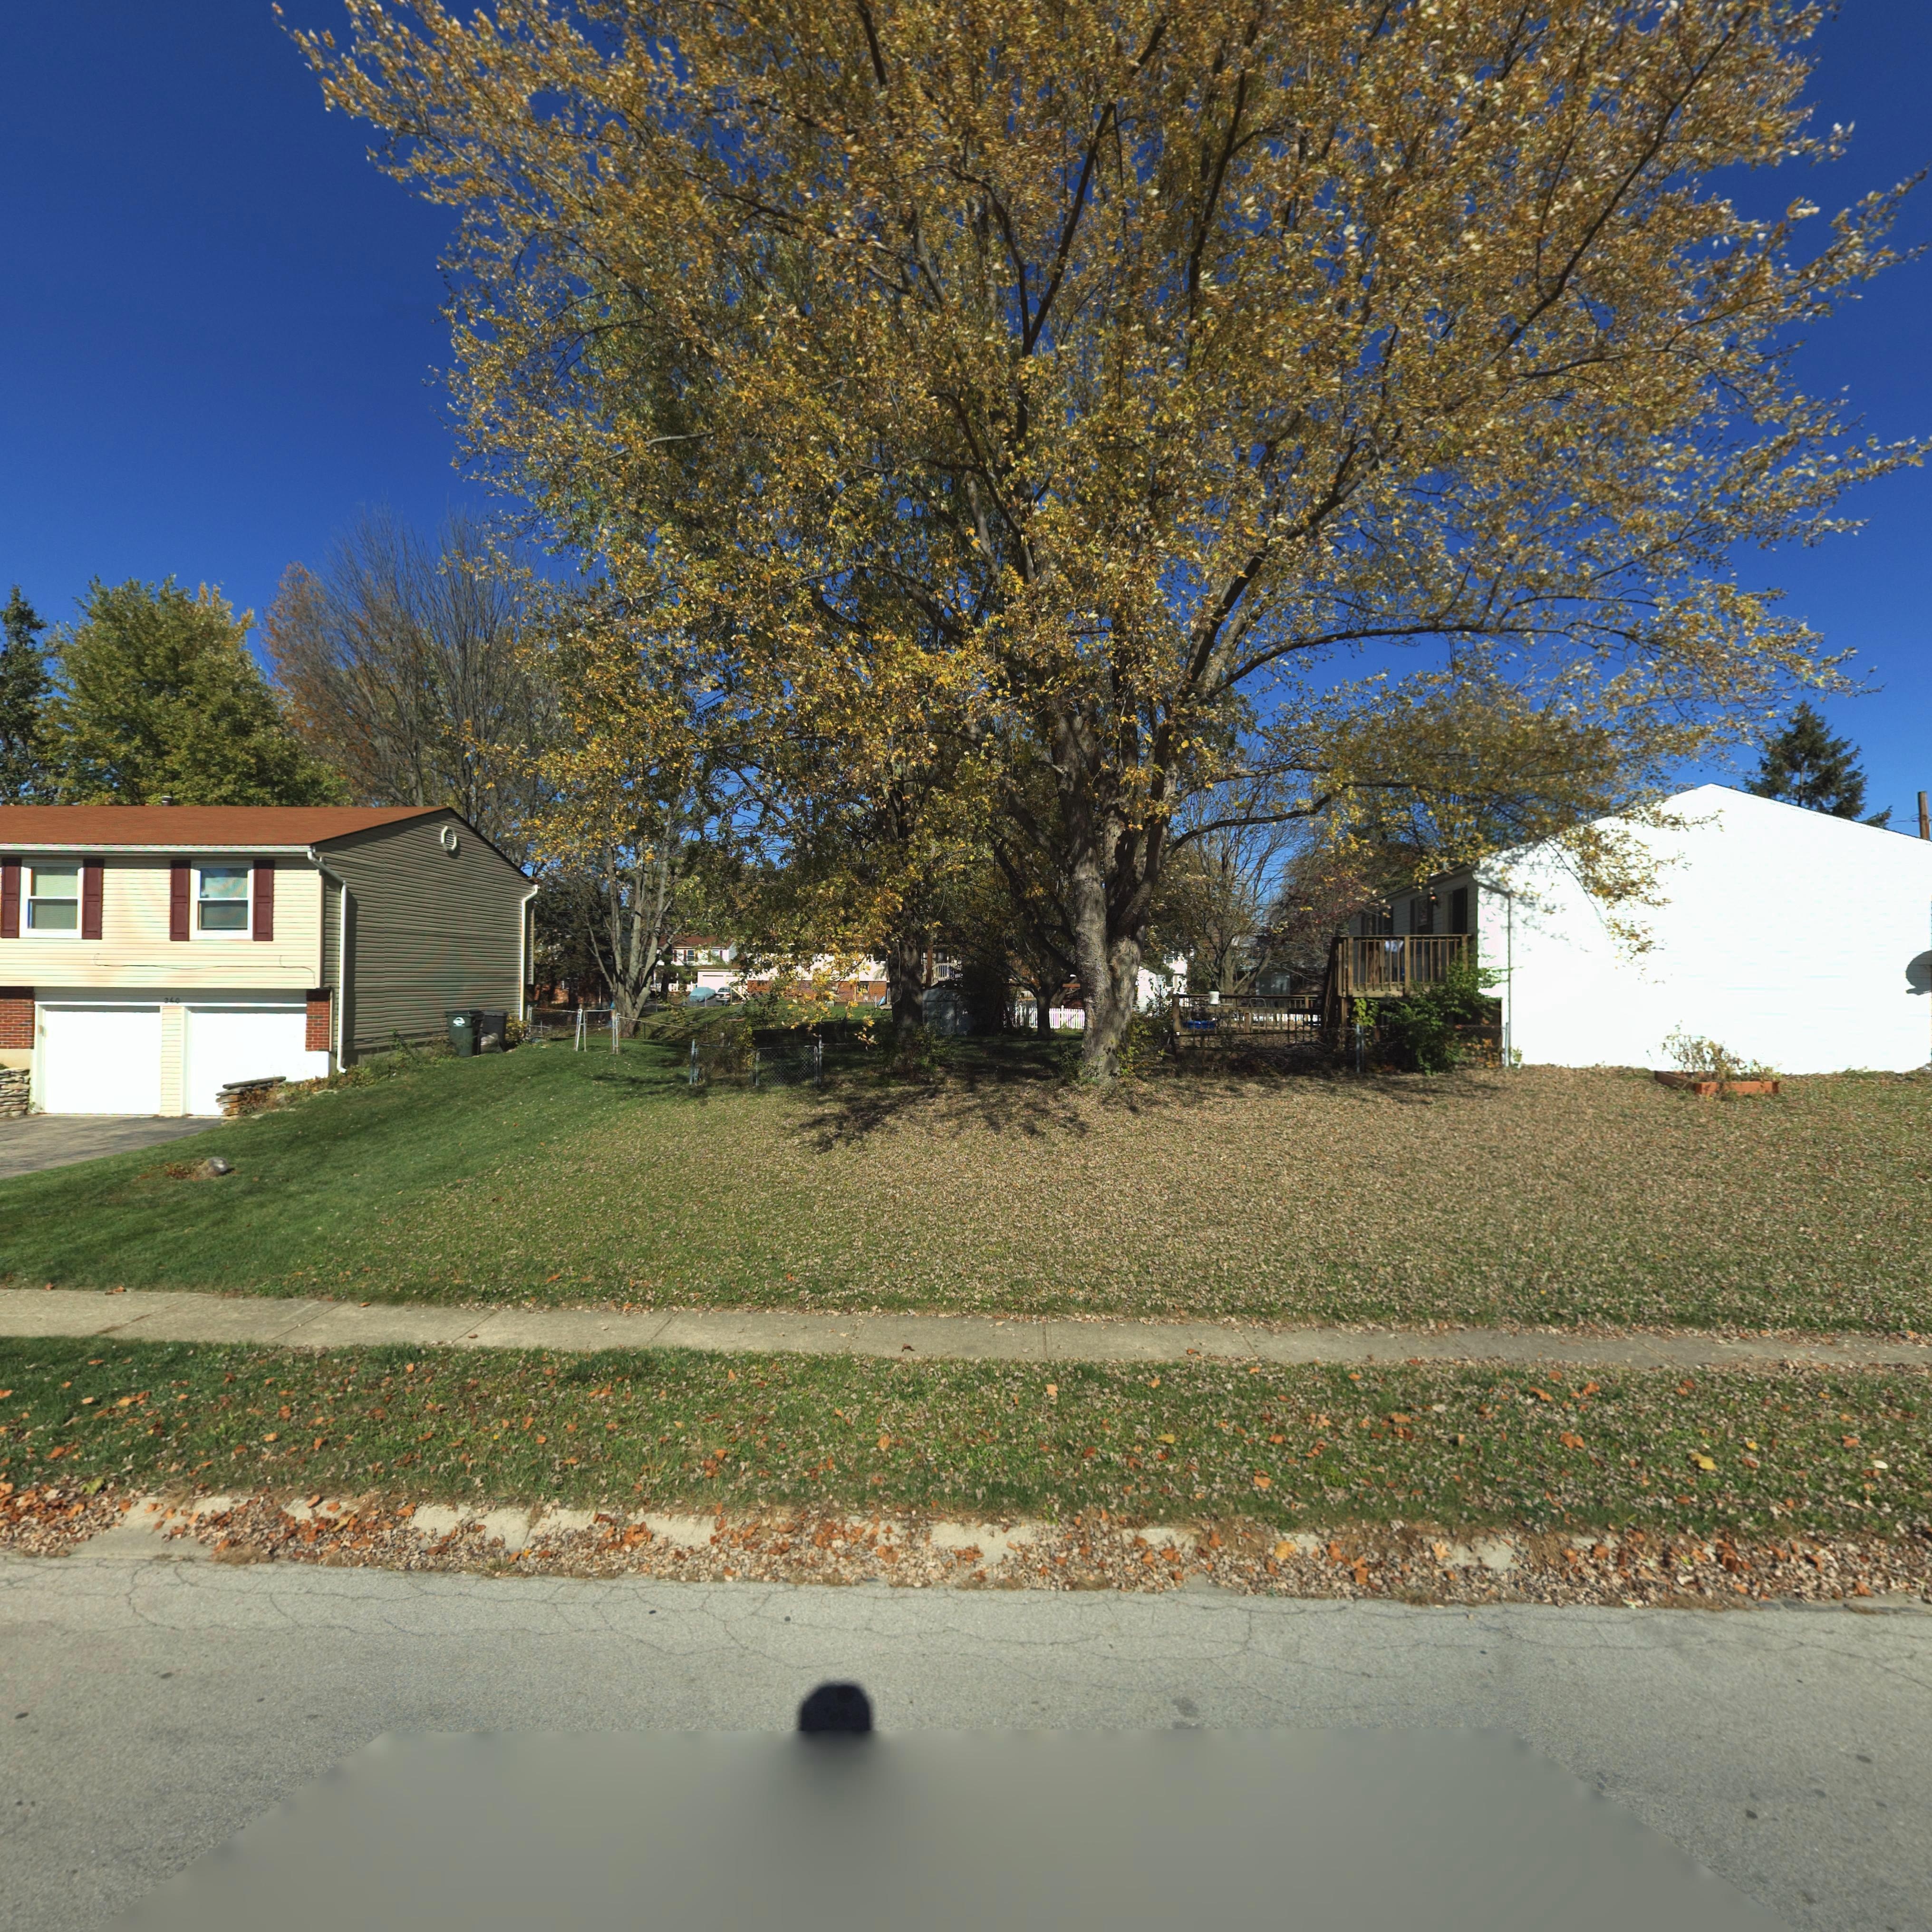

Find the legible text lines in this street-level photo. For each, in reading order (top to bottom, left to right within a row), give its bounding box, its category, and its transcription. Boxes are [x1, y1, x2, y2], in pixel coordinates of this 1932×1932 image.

[163, 996, 181, 1005] StreetNumber: 260